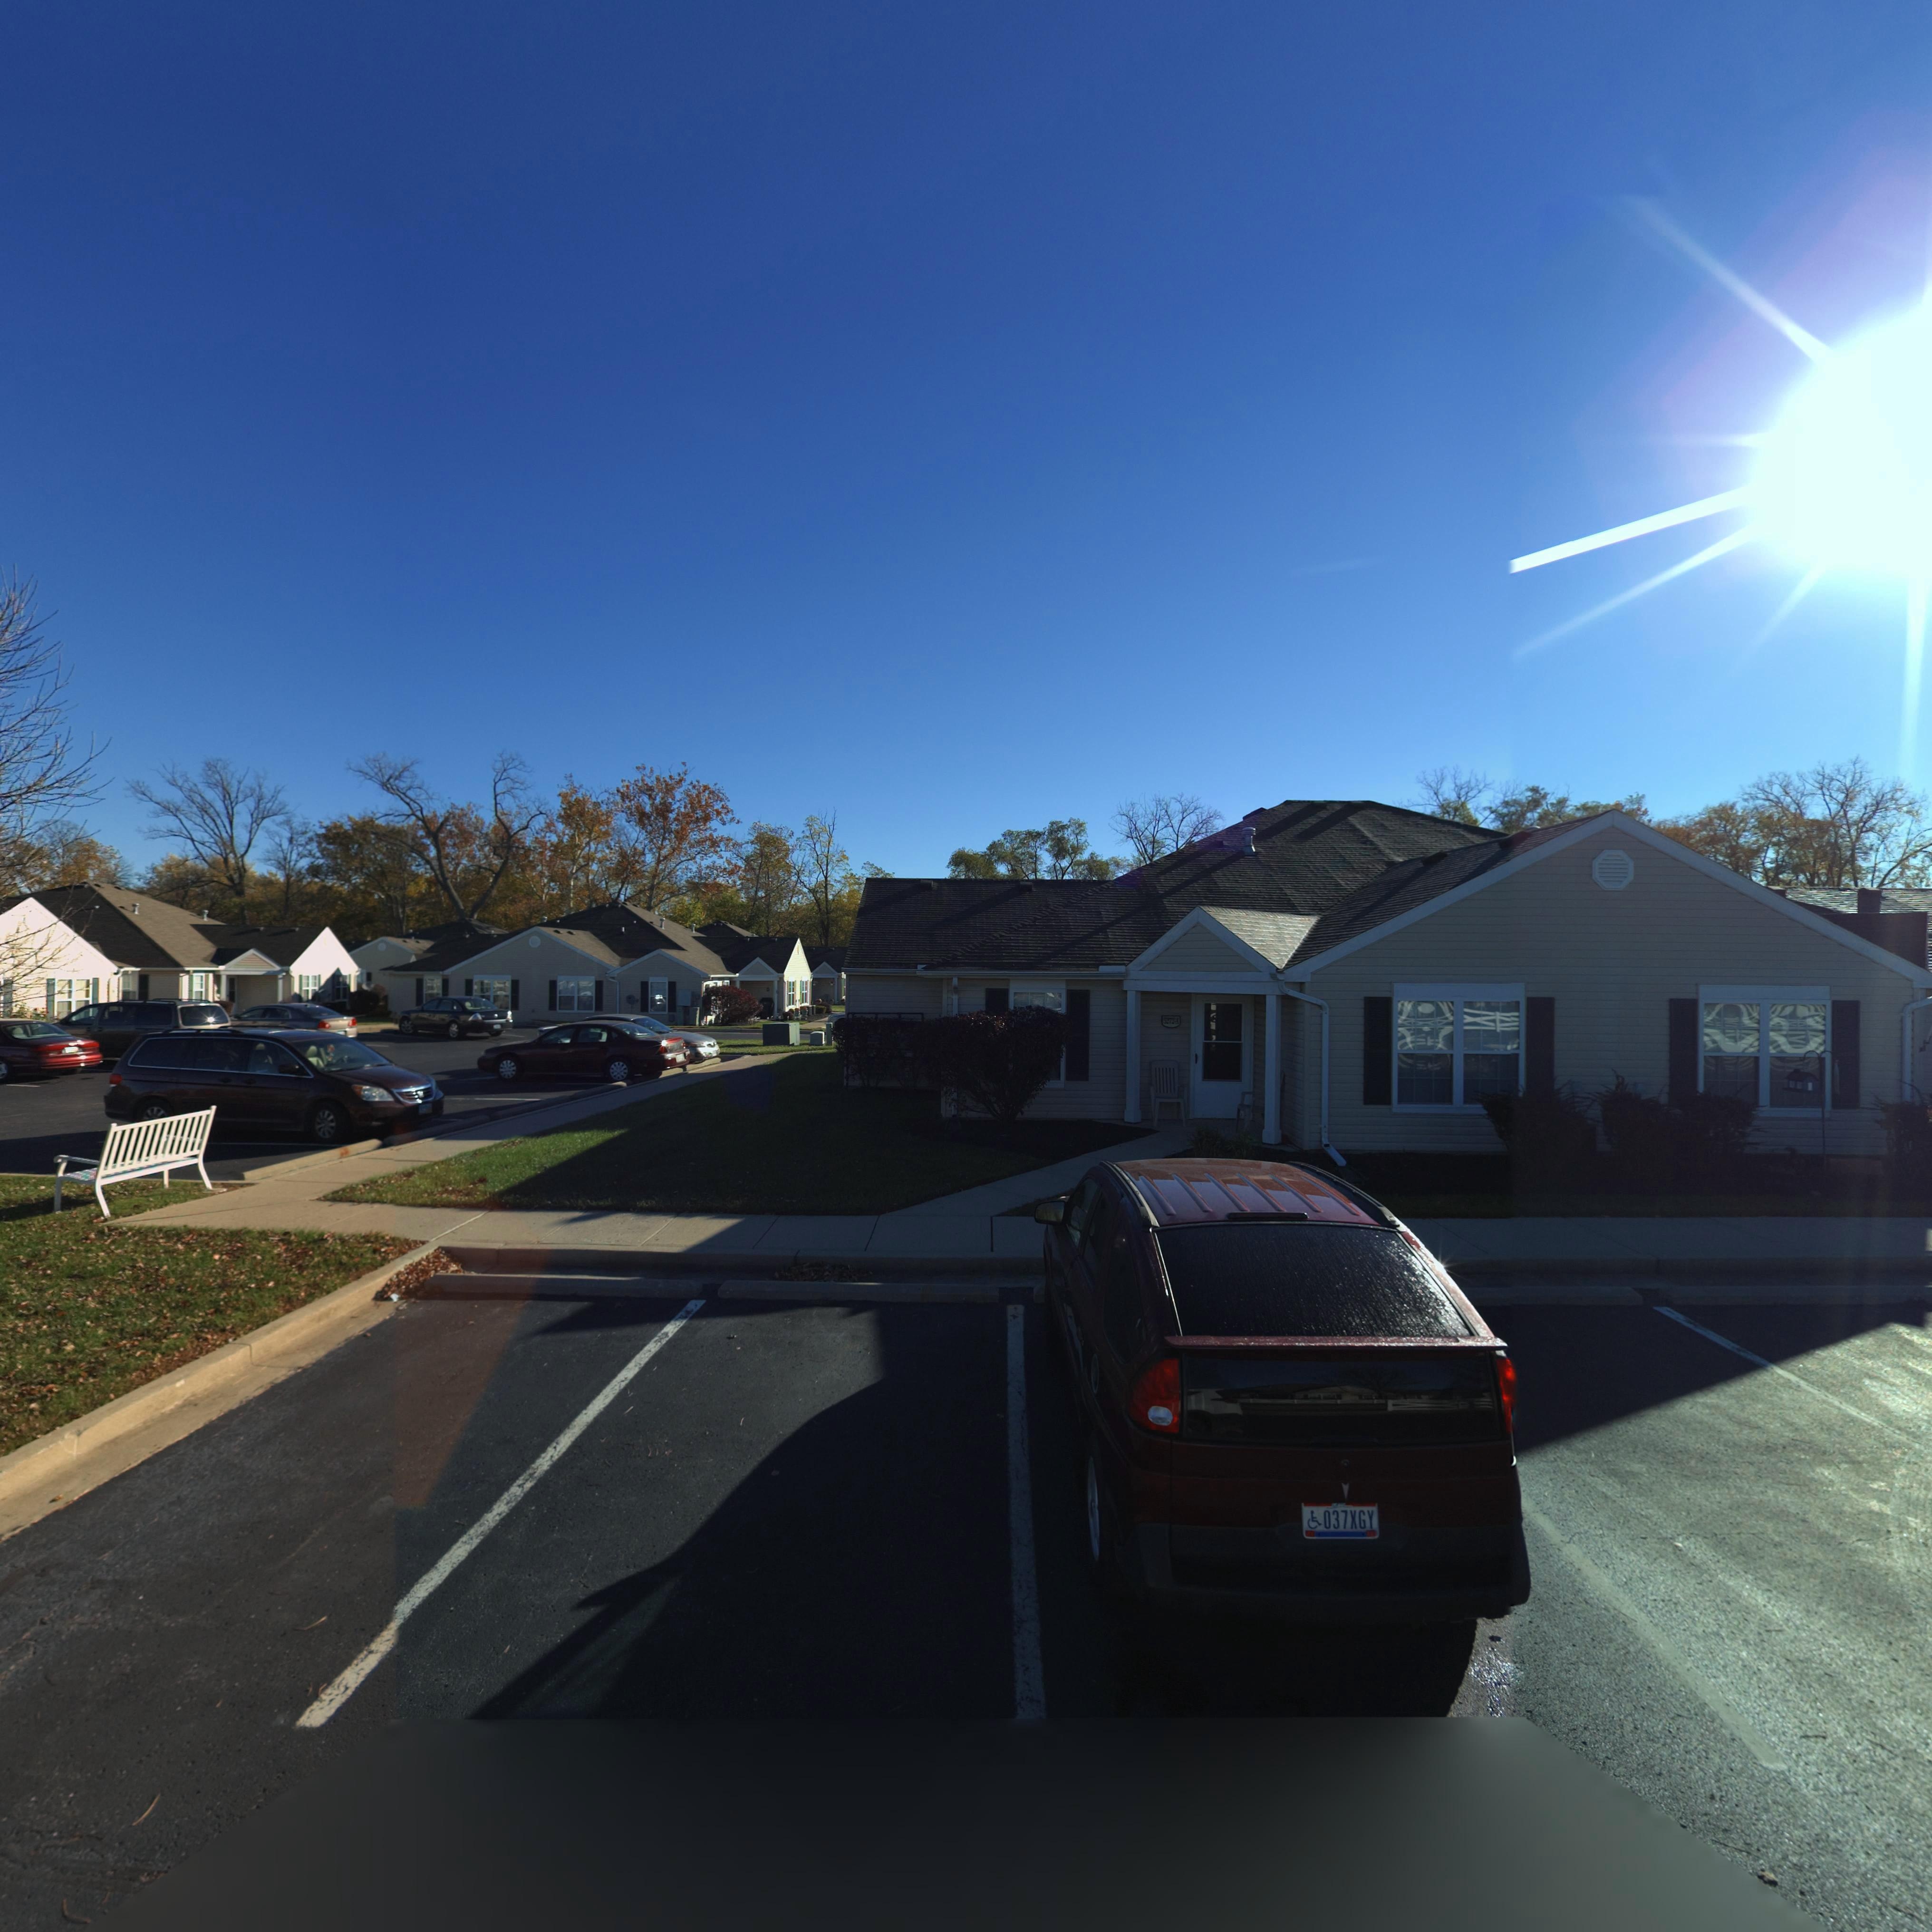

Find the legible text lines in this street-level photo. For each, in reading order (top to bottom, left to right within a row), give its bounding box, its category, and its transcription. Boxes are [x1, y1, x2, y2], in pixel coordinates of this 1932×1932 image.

[1162, 1017, 1179, 1024] StreetNumber: 5272-A